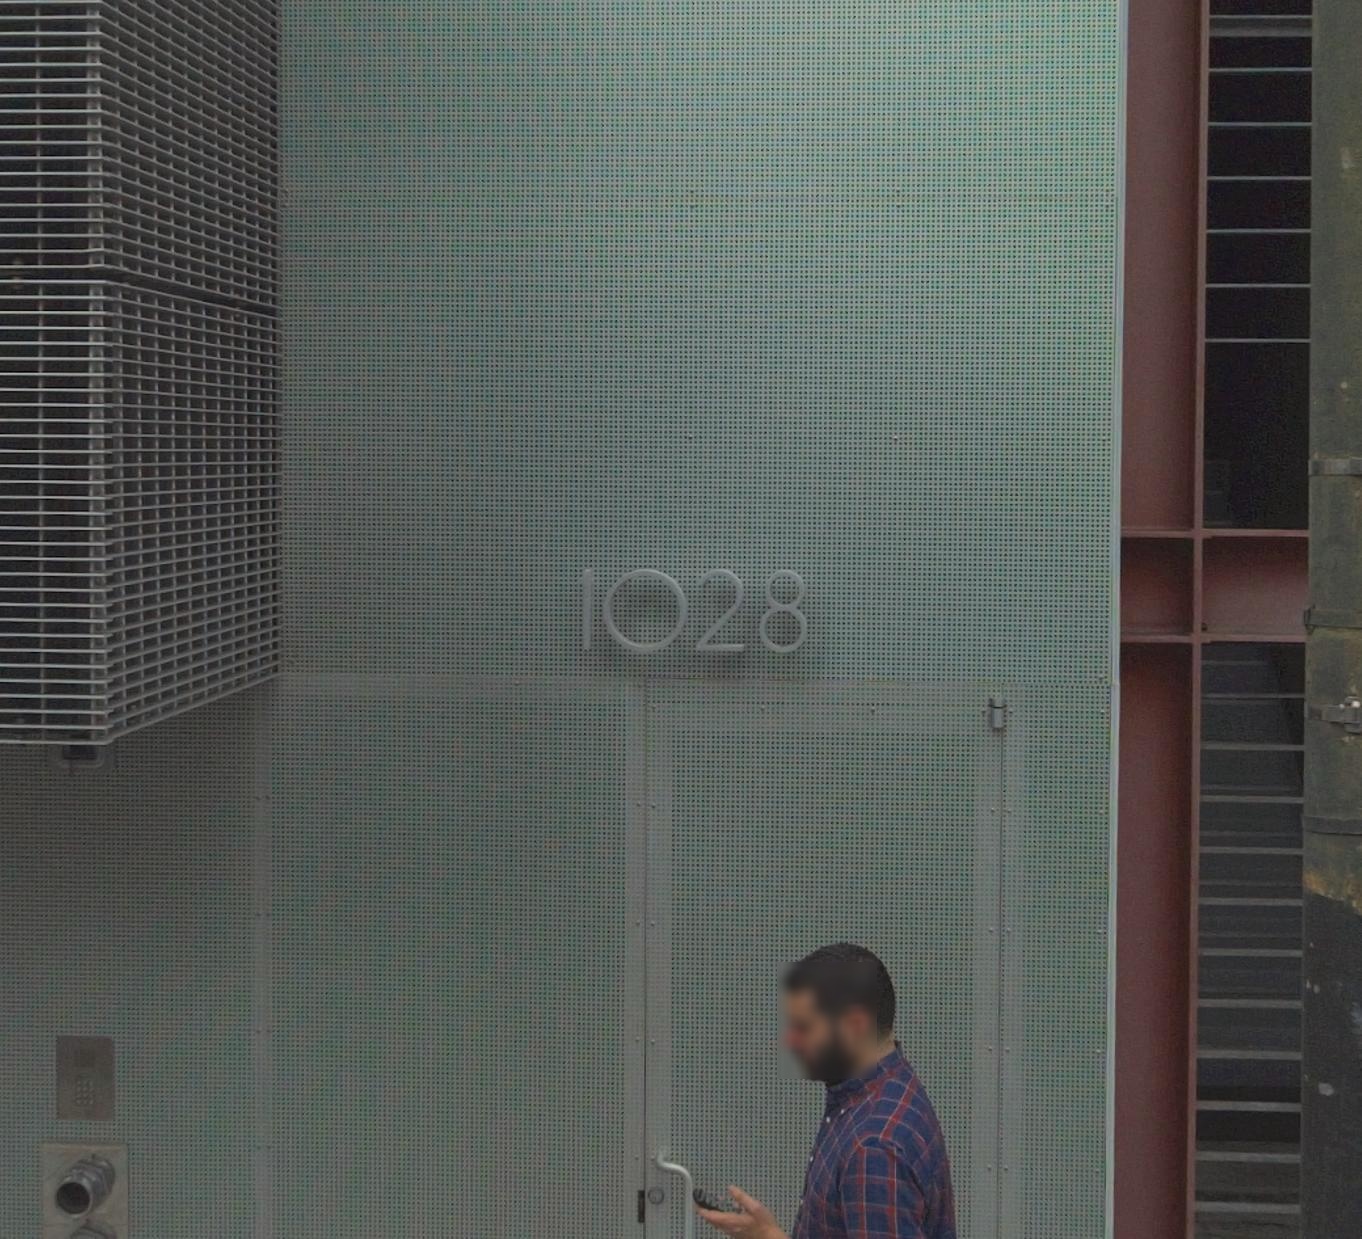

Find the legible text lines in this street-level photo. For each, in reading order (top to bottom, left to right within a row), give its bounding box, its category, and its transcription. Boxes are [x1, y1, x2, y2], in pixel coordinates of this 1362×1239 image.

[579, 563, 809, 655] StreetNumber: 1028